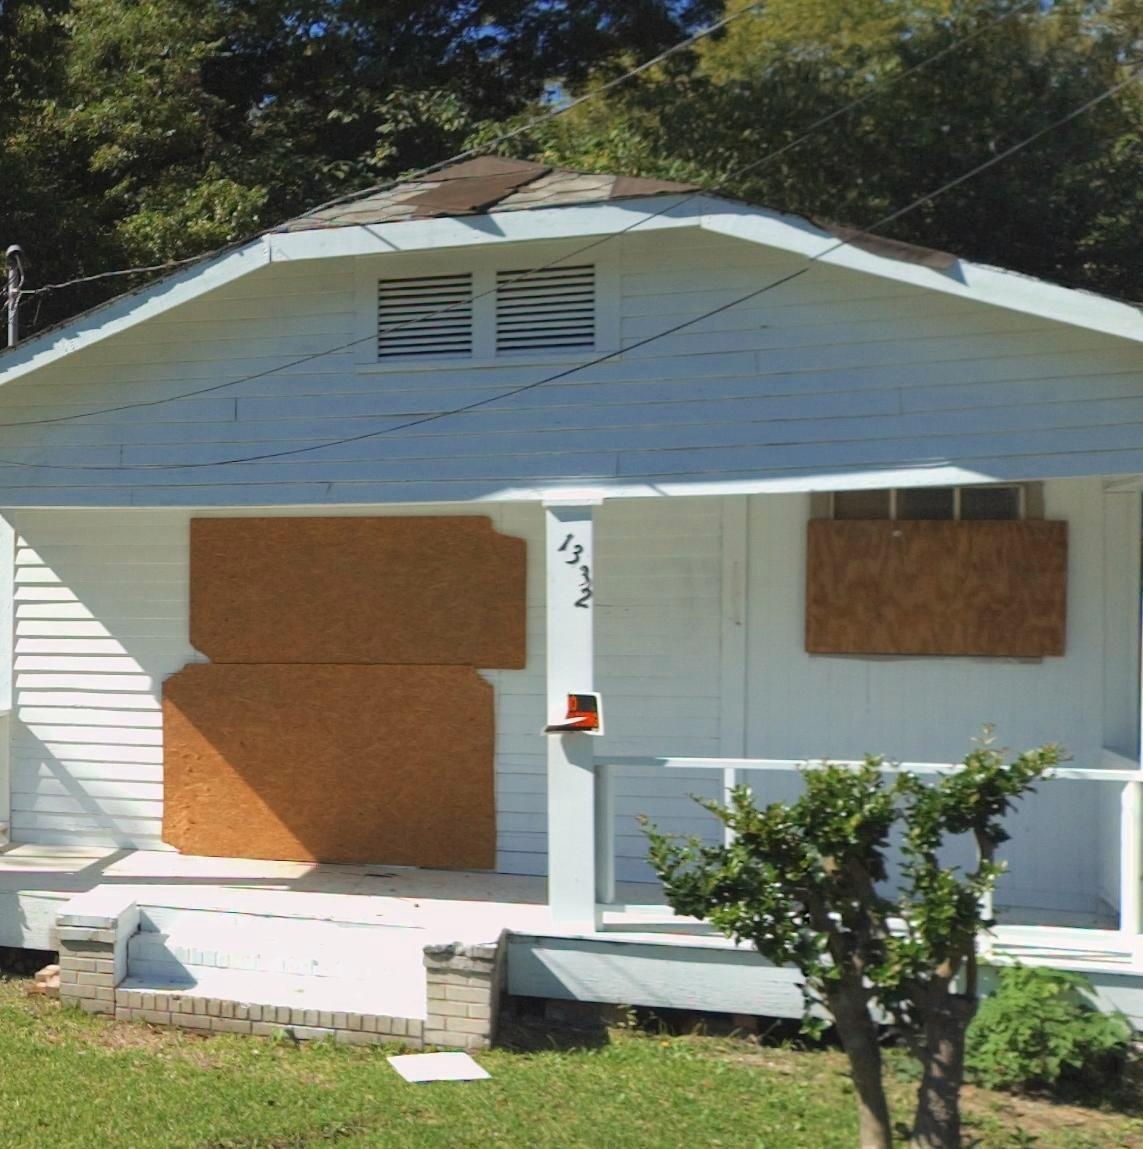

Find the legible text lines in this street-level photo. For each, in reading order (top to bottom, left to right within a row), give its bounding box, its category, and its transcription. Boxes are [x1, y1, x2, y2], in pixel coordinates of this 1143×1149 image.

[551, 528, 596, 613] StreetNumber: 1332
[567, 693, 580, 713] None: O